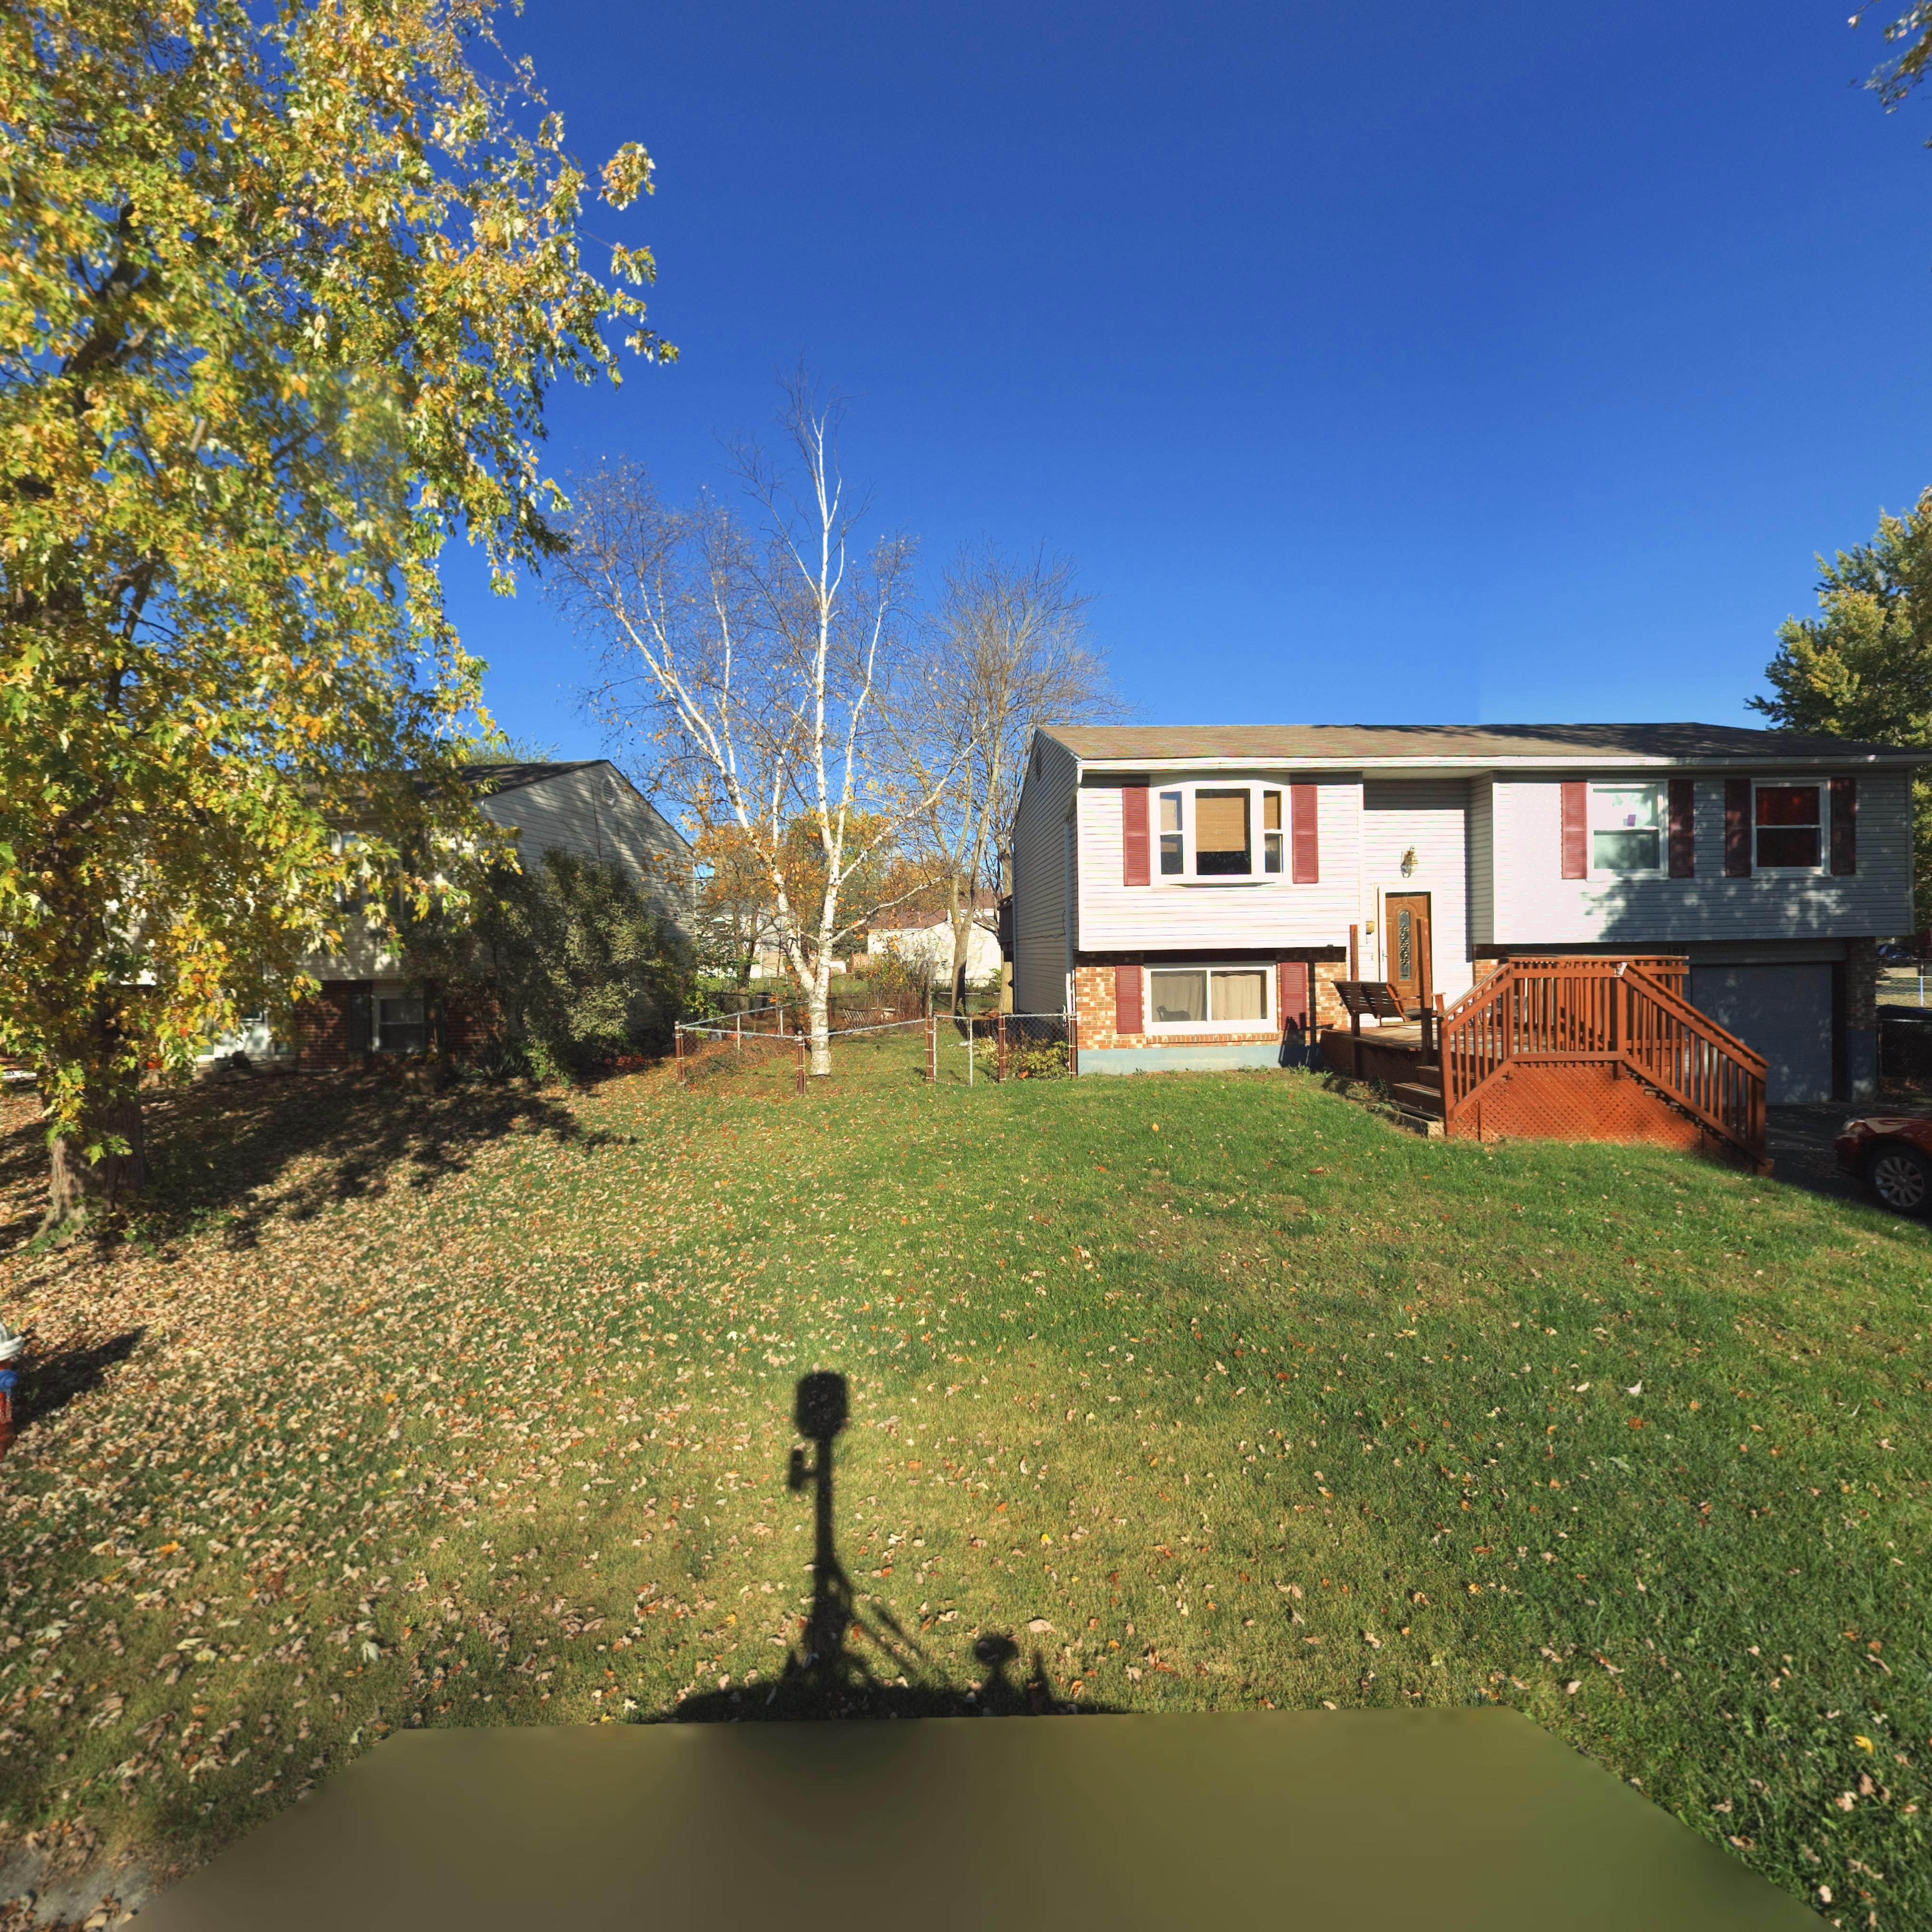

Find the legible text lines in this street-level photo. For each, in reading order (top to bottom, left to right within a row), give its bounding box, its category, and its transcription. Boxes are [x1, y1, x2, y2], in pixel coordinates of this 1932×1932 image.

[1667, 947, 1687, 956] StreetNumber: 102